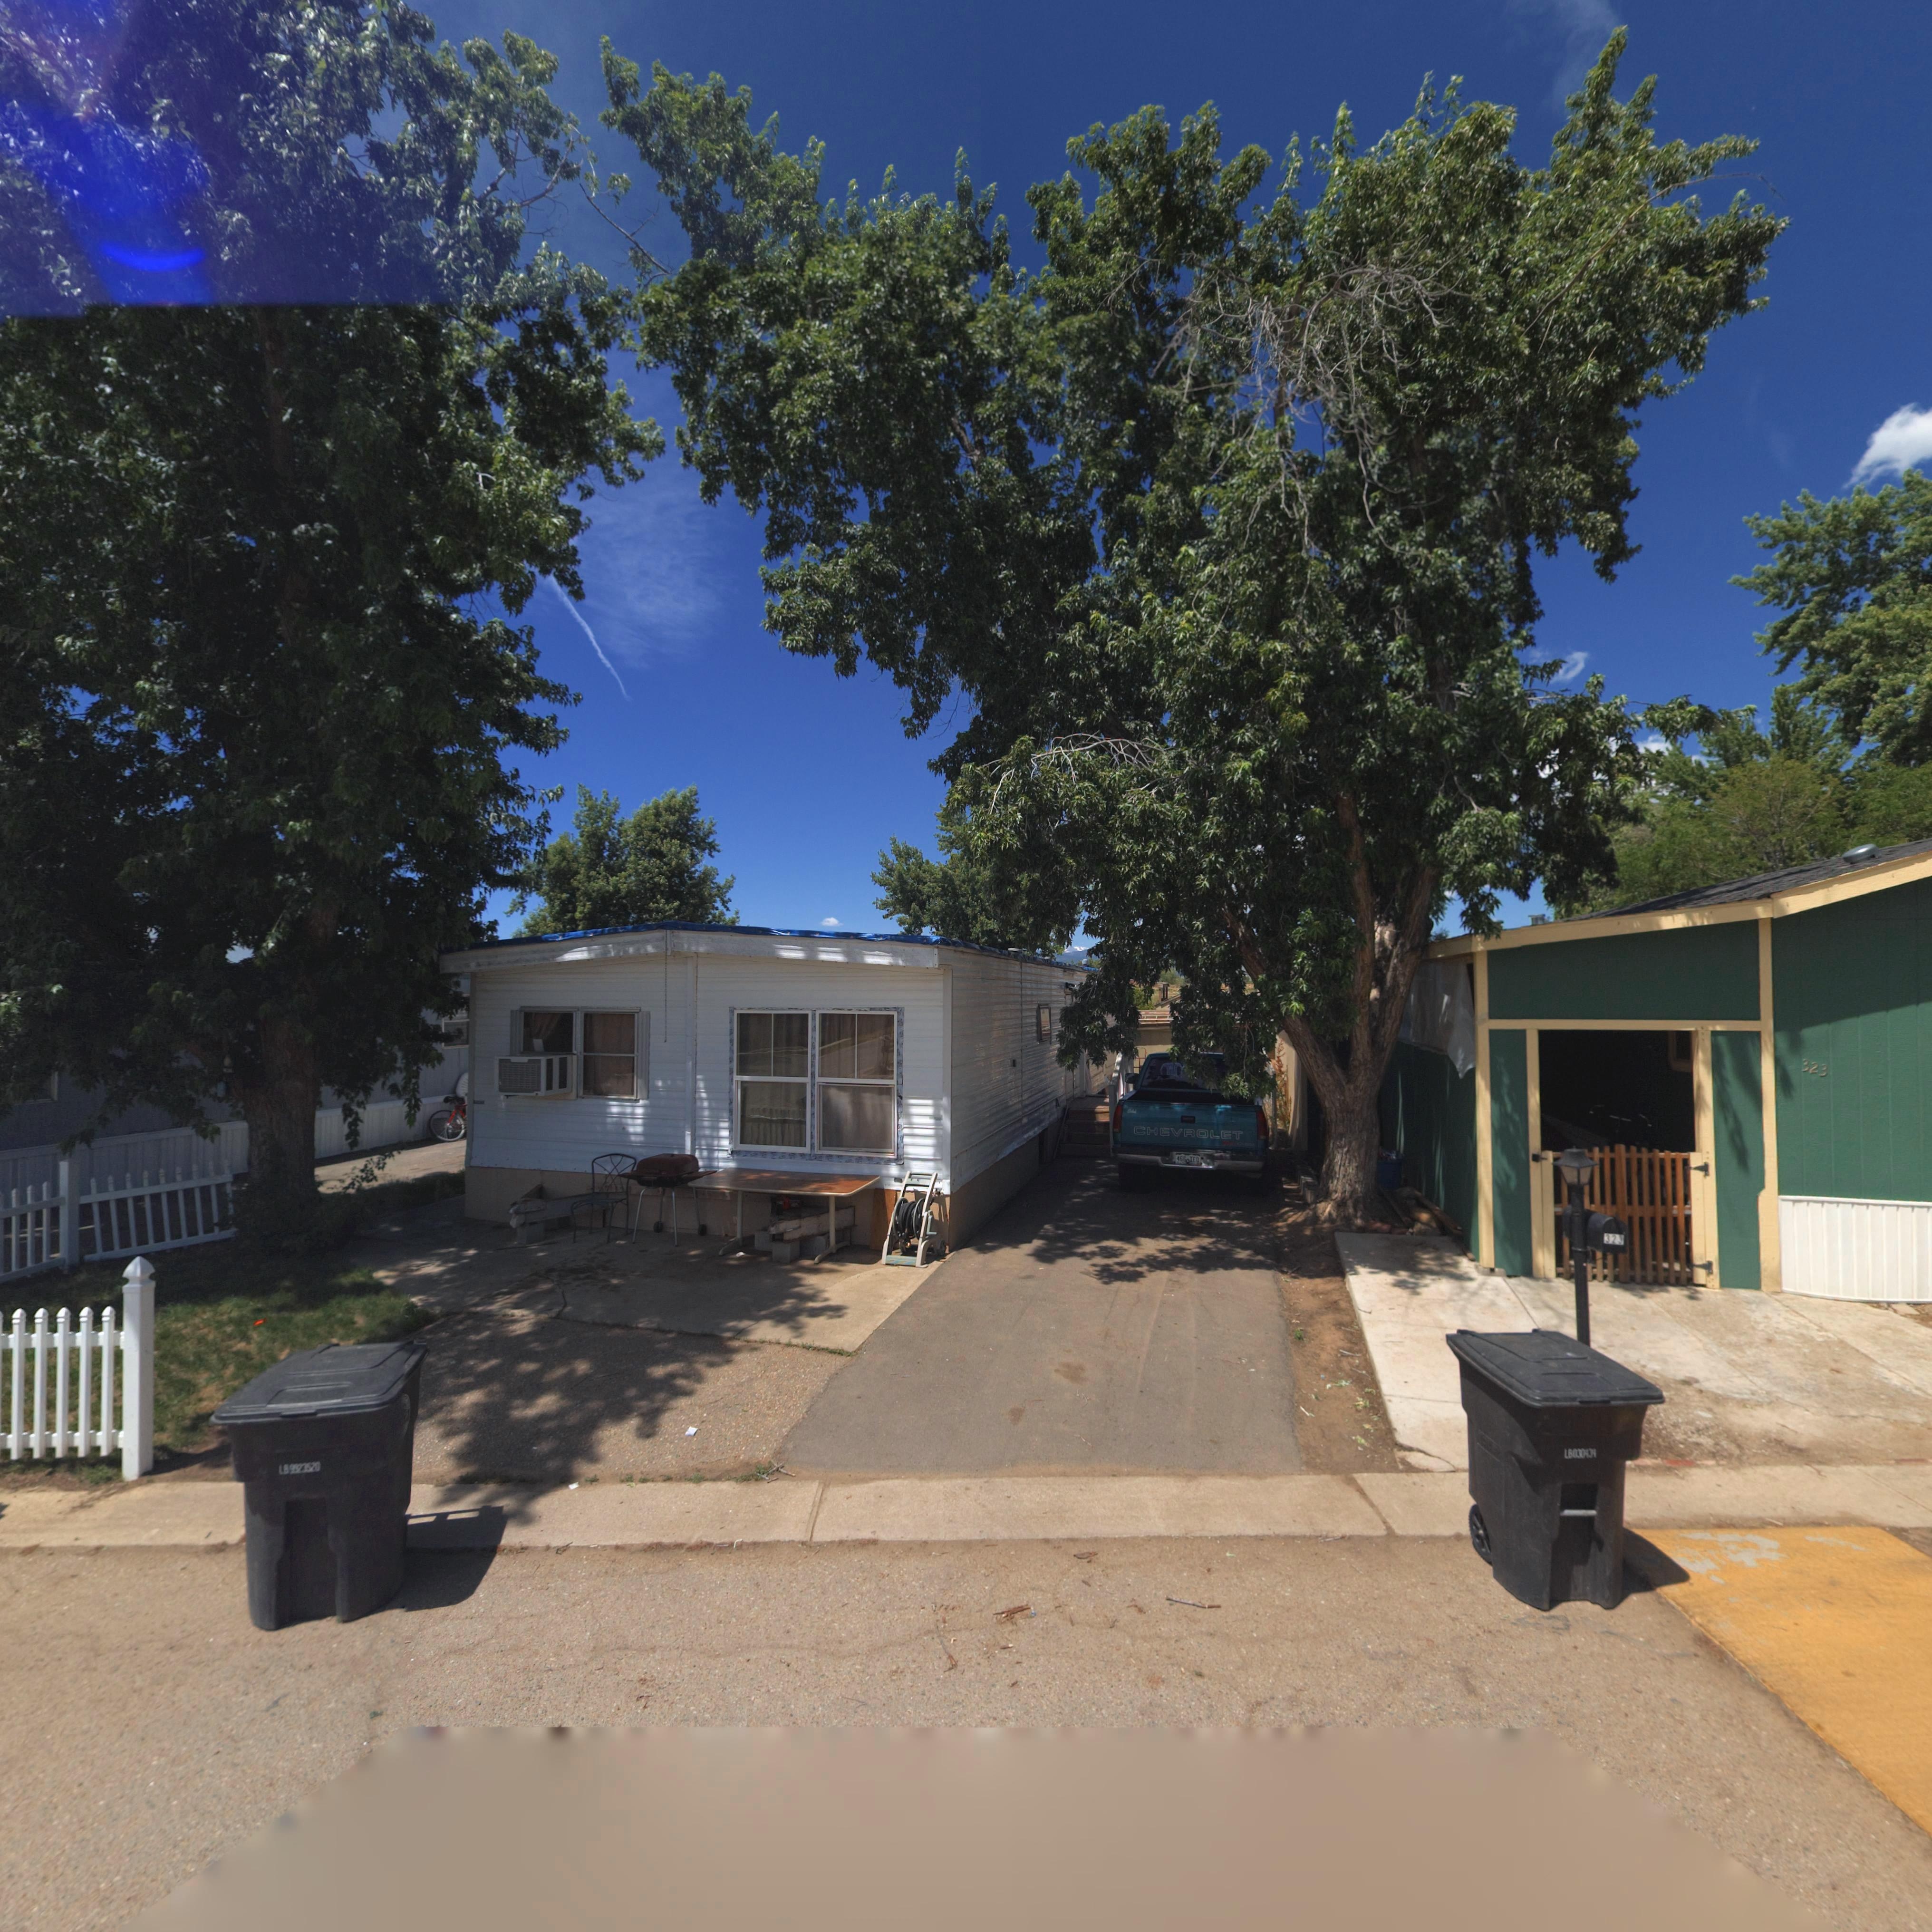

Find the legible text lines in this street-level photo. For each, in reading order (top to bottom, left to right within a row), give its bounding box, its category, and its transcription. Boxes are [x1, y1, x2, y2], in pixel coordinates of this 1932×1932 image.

[1800, 1058, 1827, 1077] StreetNumber: 323
[1605, 1233, 1623, 1245] StreetNumber: 323